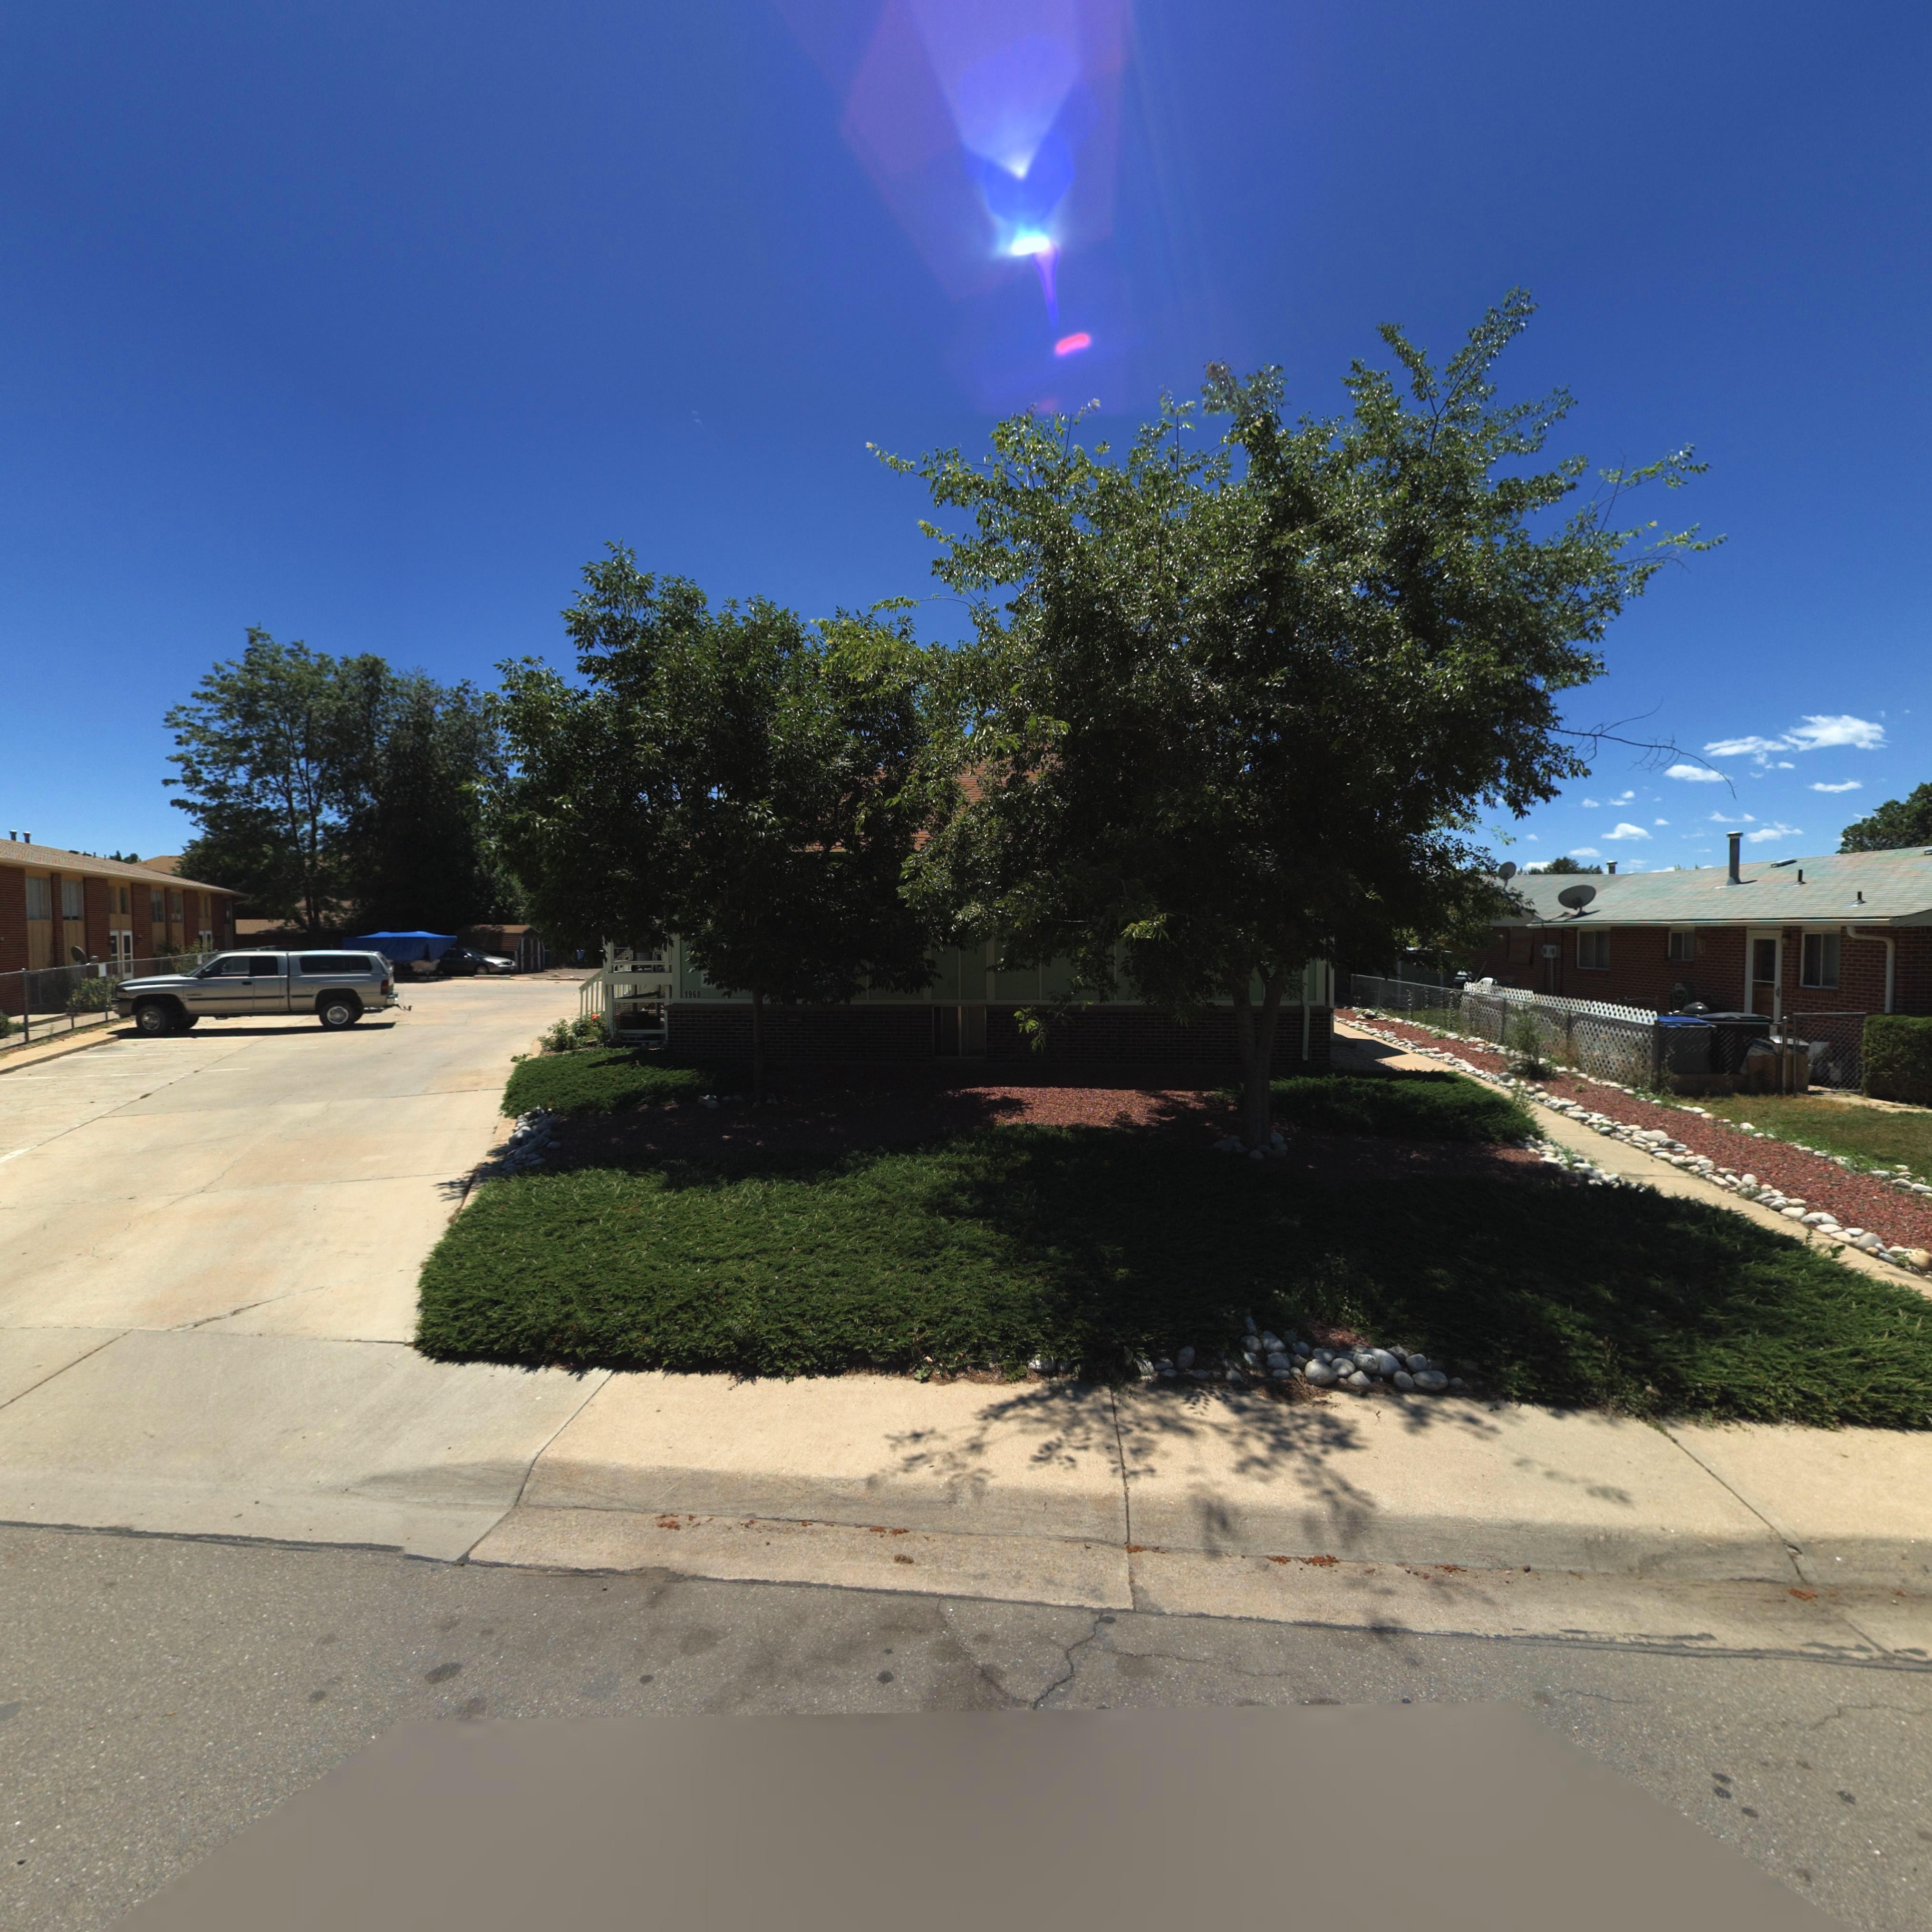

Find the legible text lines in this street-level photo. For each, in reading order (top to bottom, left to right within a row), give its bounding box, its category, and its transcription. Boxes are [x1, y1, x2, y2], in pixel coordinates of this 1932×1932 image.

[684, 990, 701, 998] StreetNumber: 1968